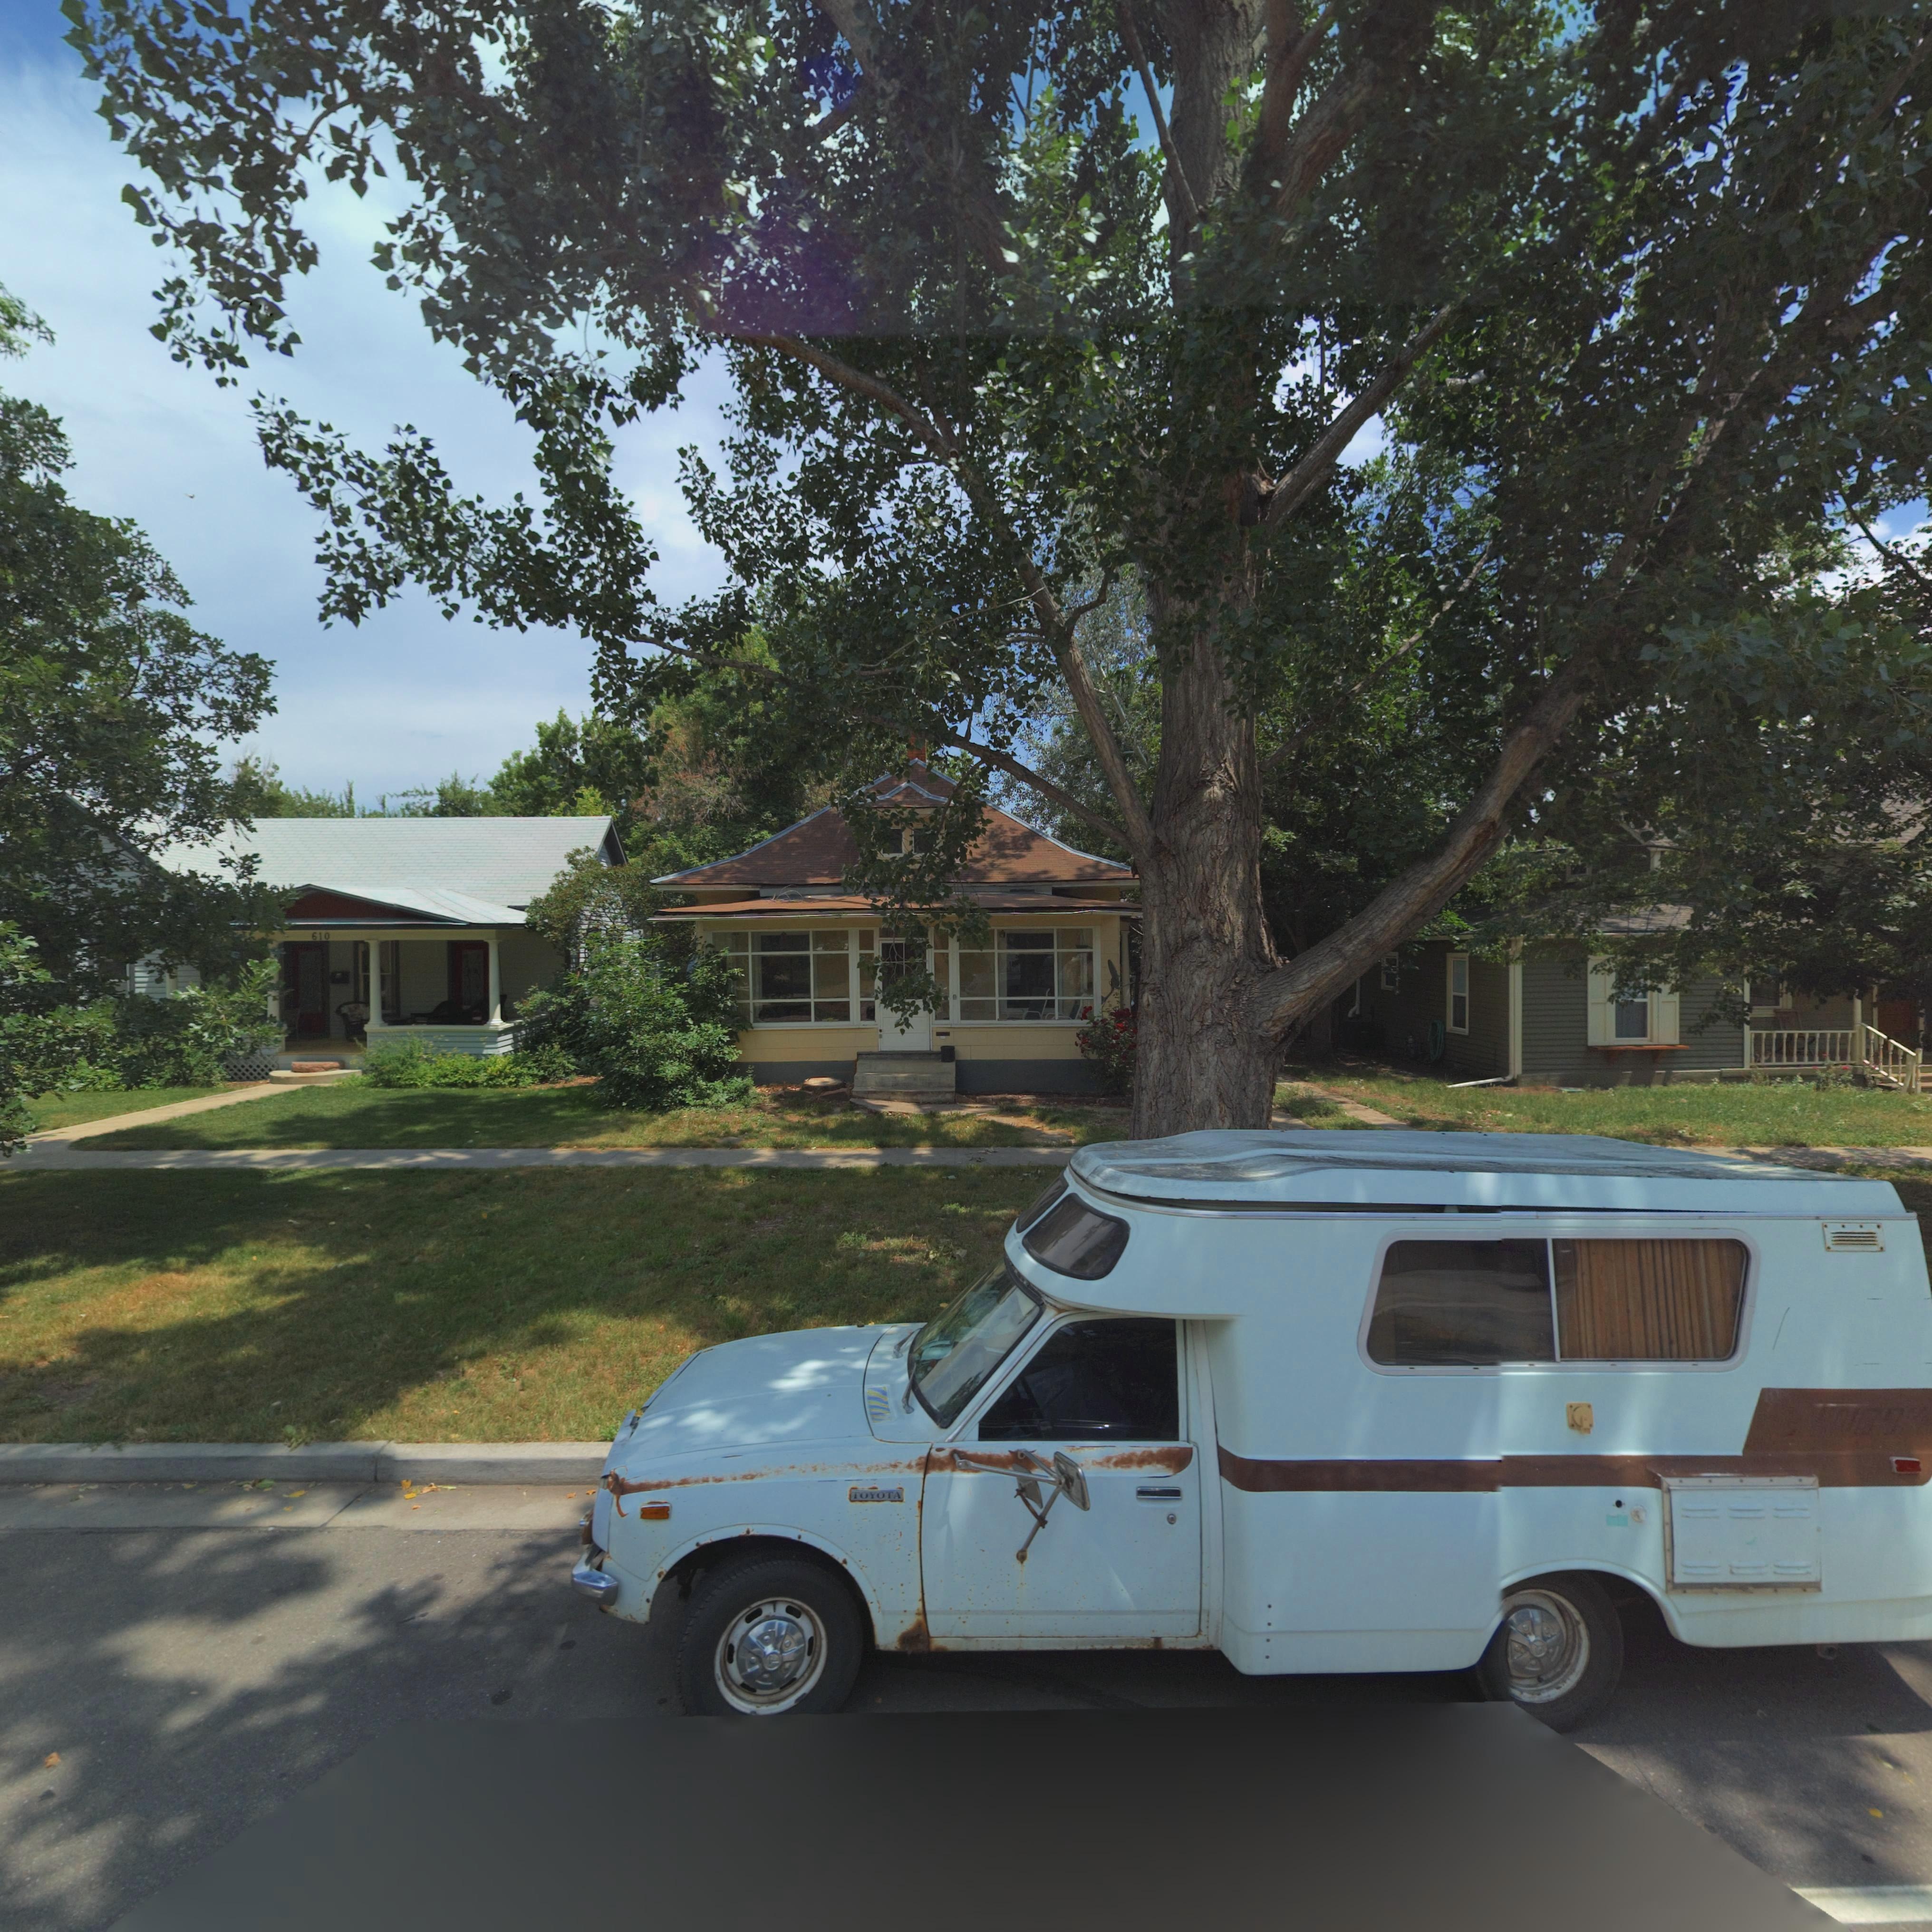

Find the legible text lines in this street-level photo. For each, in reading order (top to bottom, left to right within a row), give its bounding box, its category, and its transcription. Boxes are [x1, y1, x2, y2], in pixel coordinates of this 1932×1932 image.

[311, 931, 330, 941] StreetNumber: 610